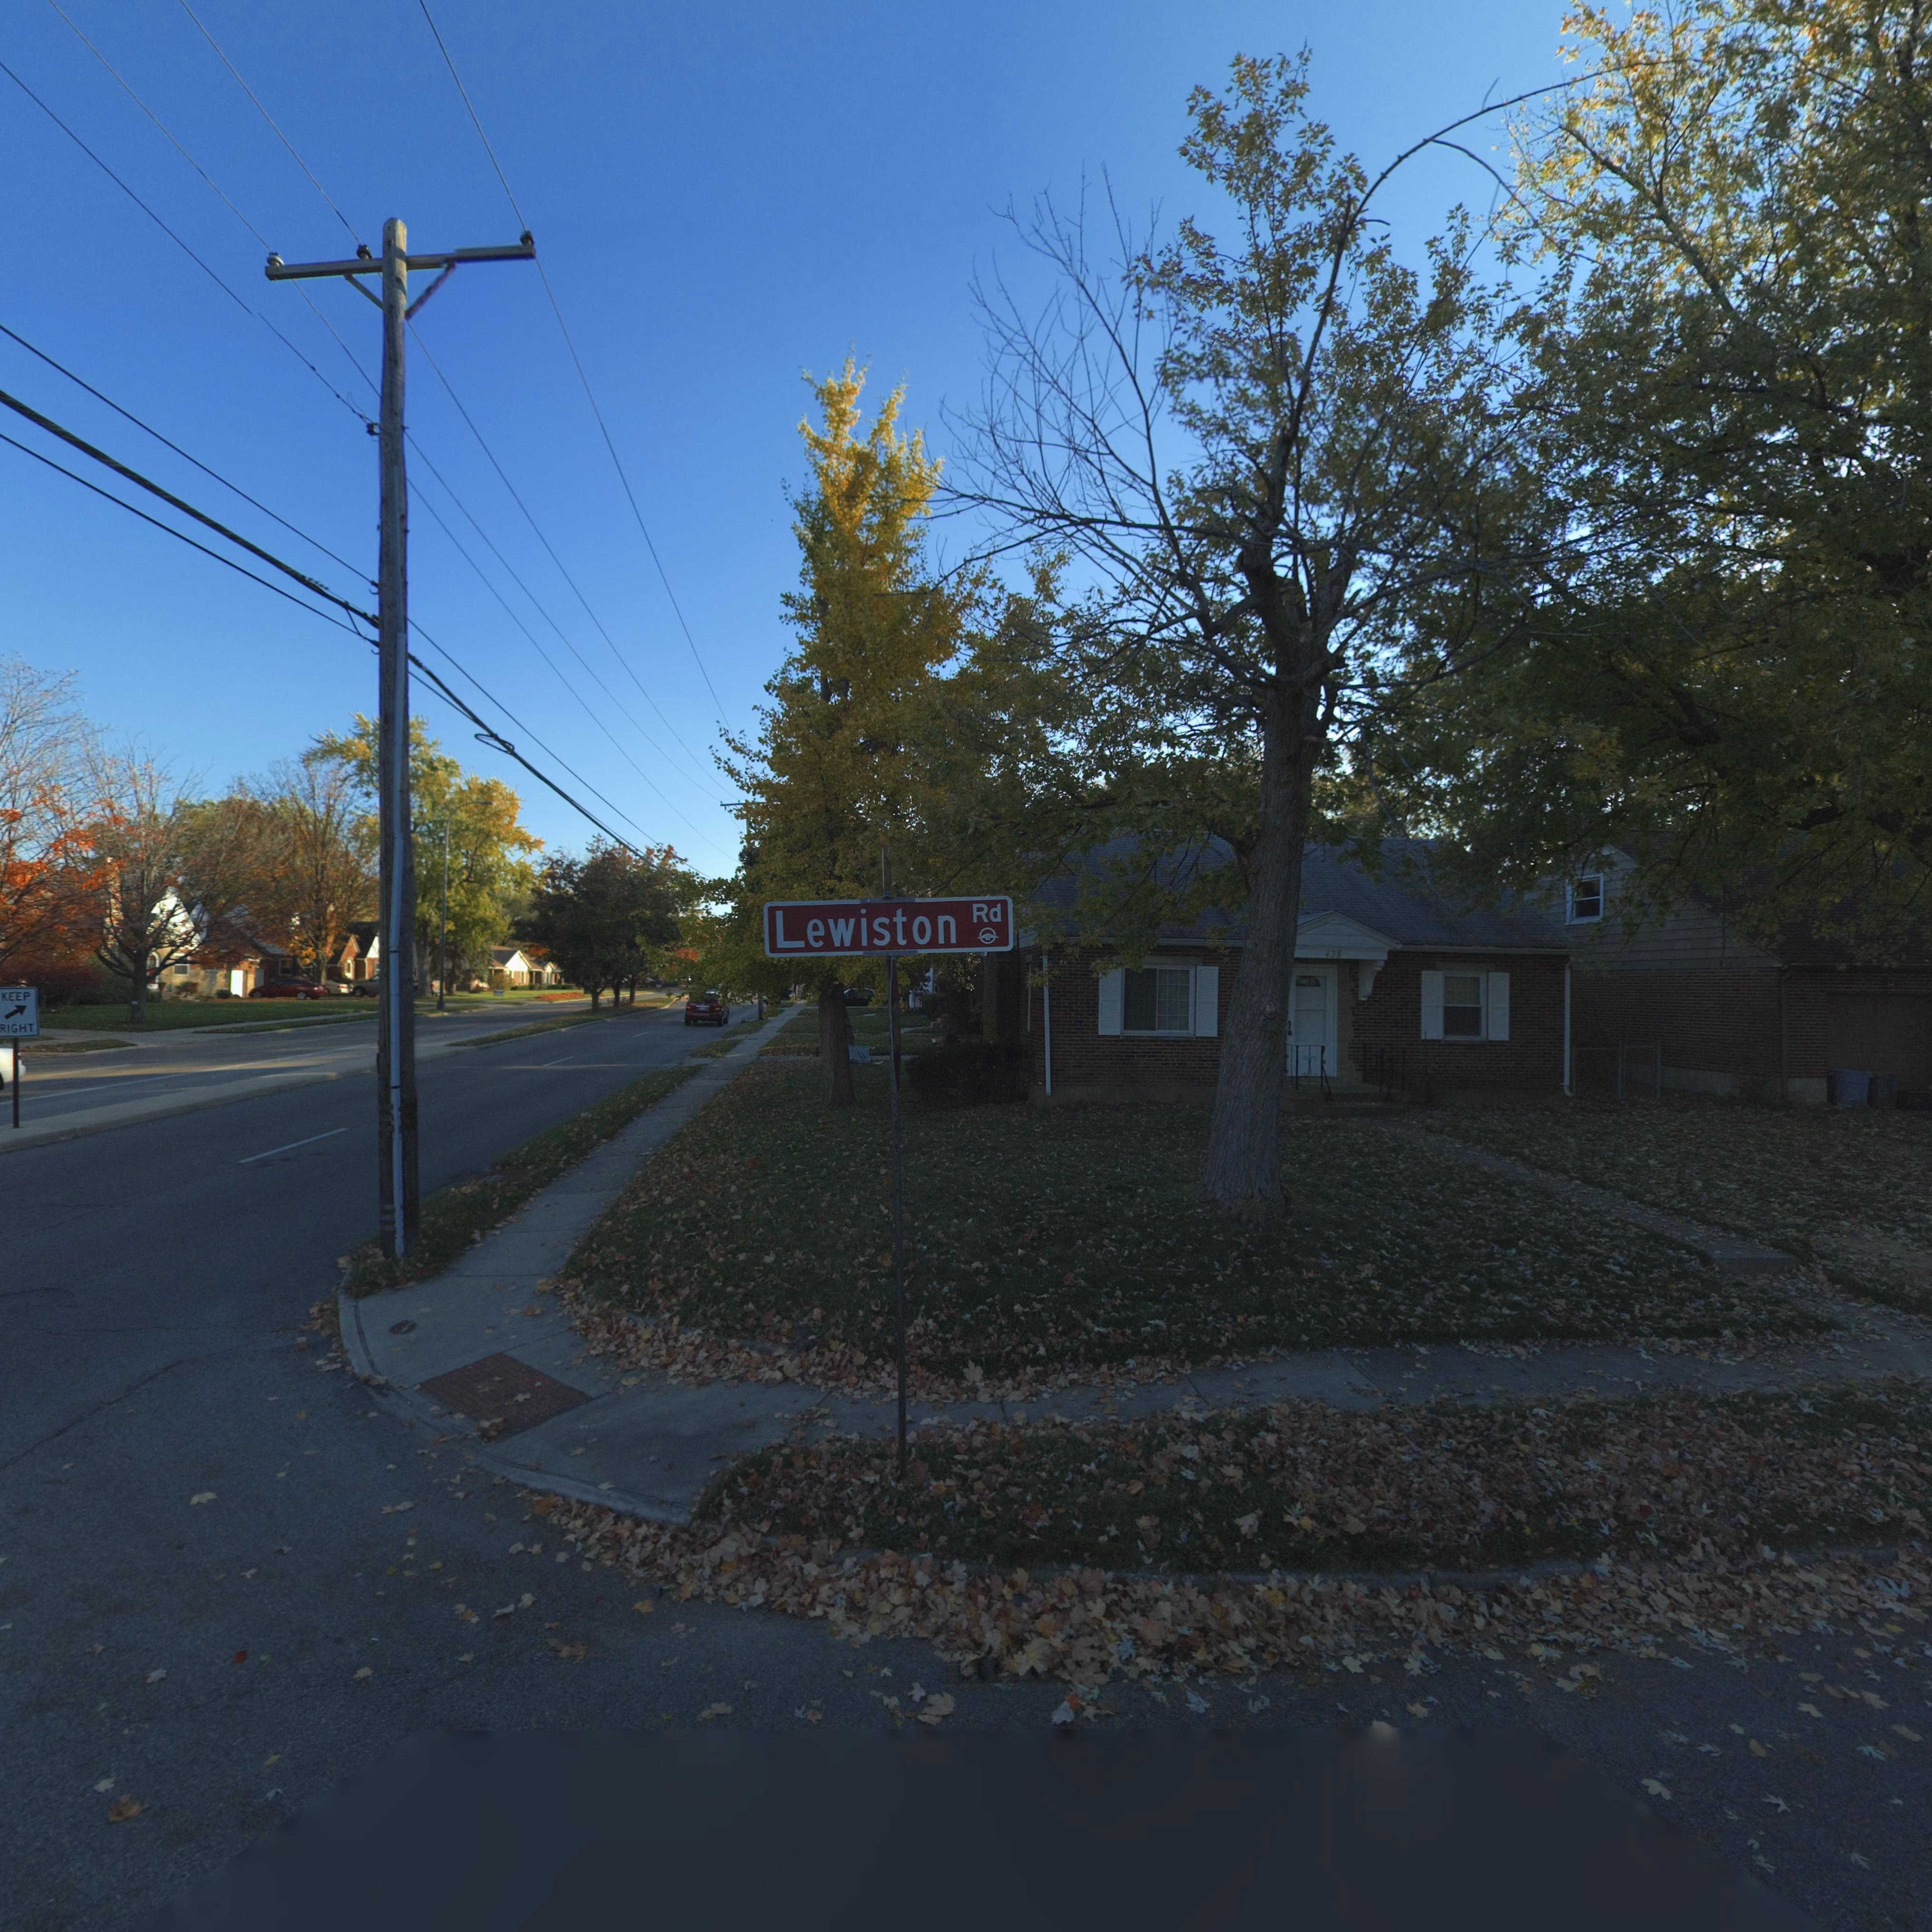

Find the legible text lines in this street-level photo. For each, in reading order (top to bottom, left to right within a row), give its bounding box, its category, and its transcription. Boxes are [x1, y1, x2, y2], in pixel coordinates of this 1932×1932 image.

[774, 901, 1003, 950] StreetName: Lewiston Rd
[1323, 949, 1343, 960] StreetNumber: 438
[1, 991, 31, 1002] None: KEEP
[0, 1023, 35, 1034] None: RIGHT